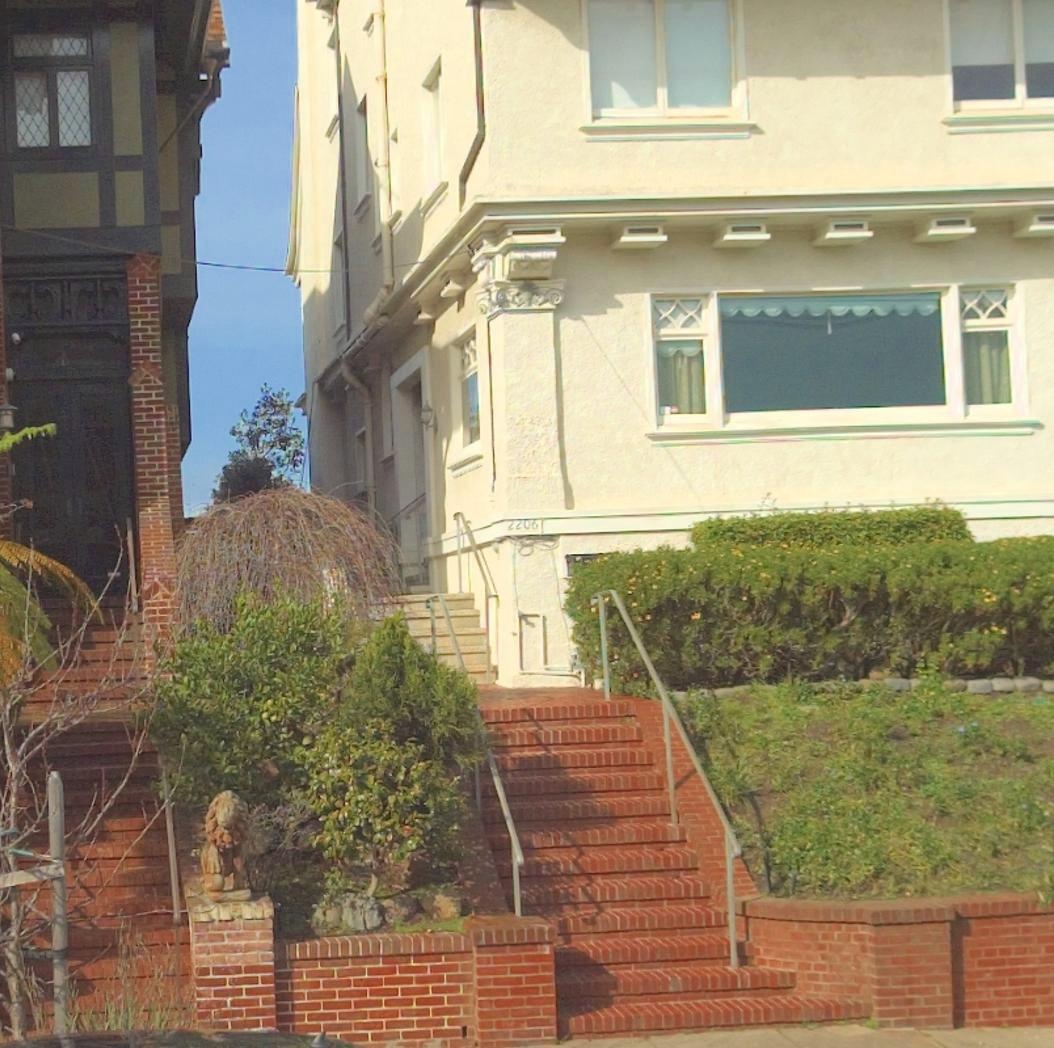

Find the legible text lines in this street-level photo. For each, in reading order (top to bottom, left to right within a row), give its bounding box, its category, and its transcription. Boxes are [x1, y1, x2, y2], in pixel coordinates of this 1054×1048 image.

[506, 517, 540, 532] StreetNumber: 2206